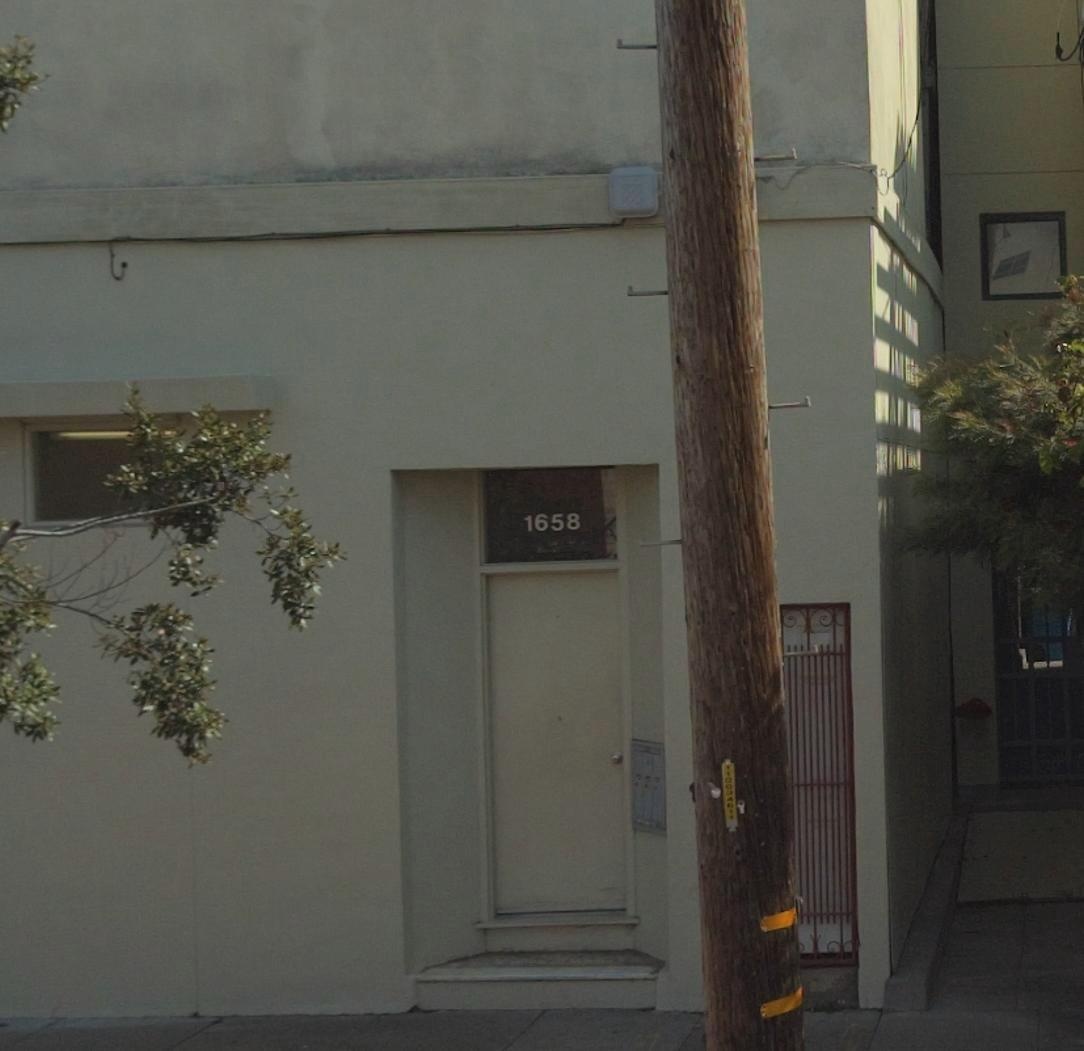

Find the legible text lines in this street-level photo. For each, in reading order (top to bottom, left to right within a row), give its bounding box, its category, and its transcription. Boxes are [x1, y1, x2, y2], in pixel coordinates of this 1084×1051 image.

[520, 510, 583, 535] StreetNumber: 1658
[721, 761, 736, 823] None: 1100*****